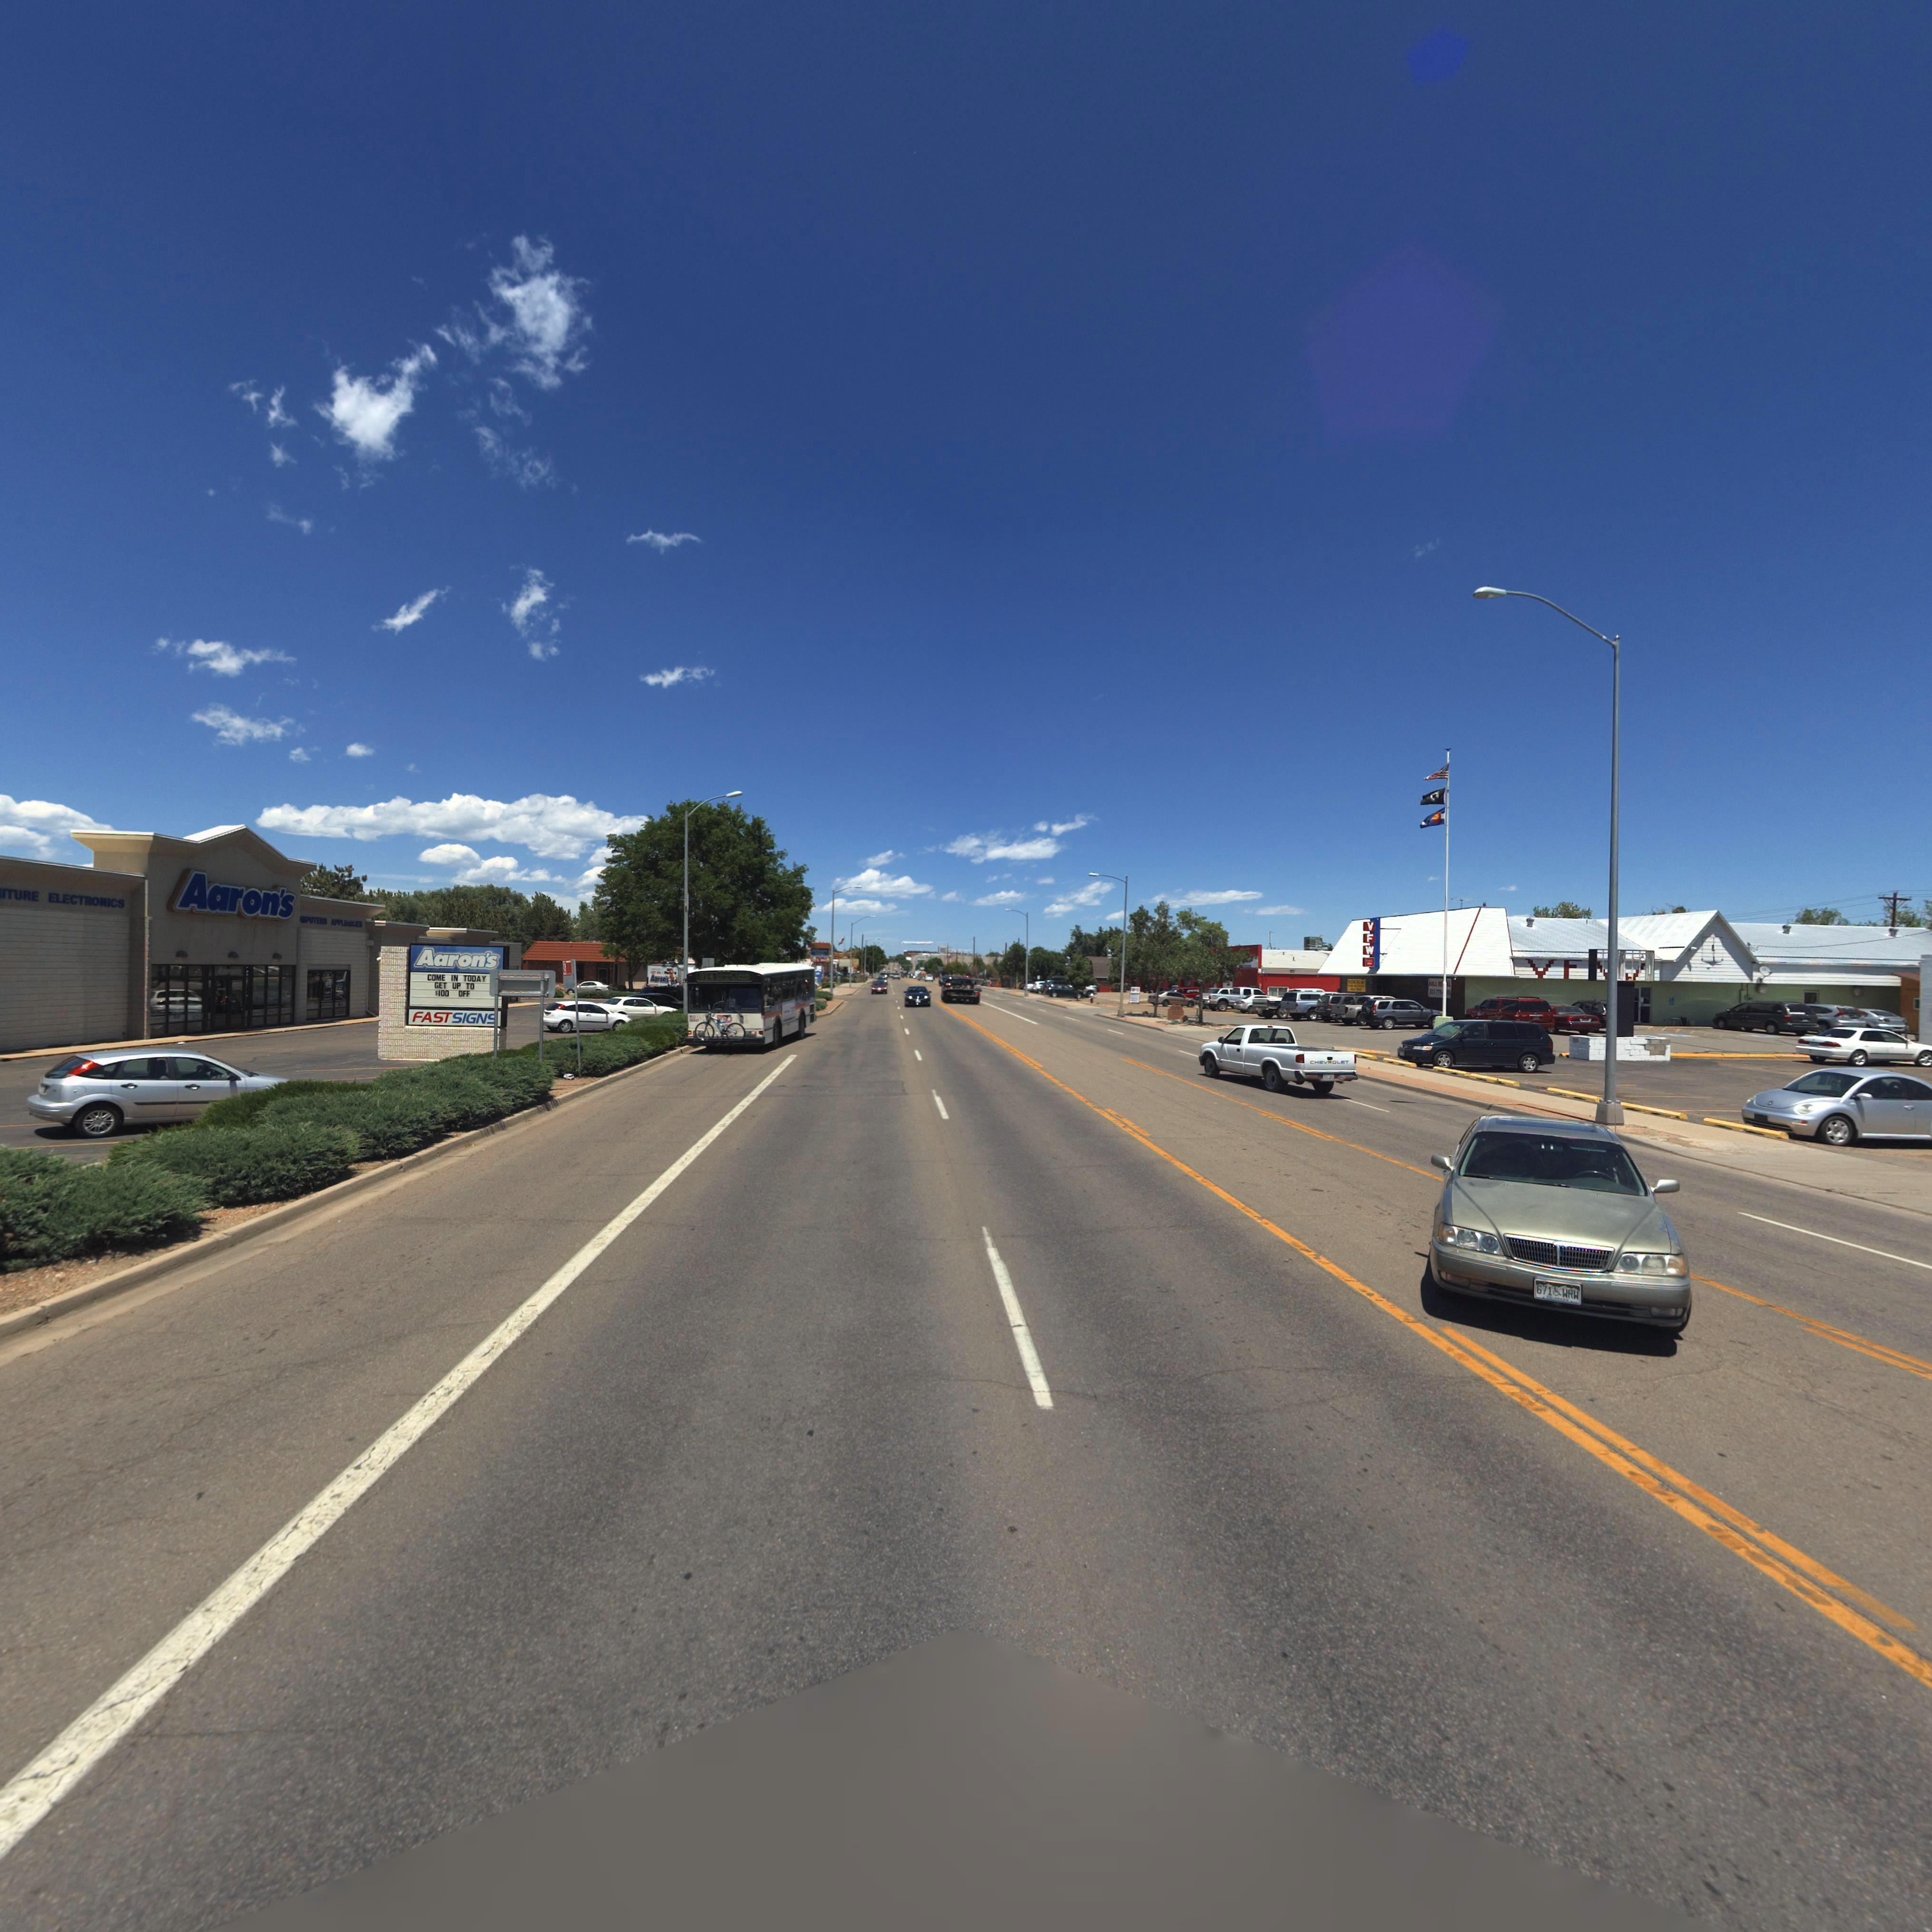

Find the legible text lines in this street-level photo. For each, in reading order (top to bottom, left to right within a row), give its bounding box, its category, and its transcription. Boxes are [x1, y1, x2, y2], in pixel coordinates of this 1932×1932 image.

[0, 889, 124, 908] BusinessName: RUNE ELECTRONICS
[174, 870, 296, 919] BusinessName: Aaron's
[1364, 922, 1374, 954] BusinessName: VFW
[414, 947, 500, 969] BusinessName: Aaron's
[1523, 957, 1583, 979] BusinessName: VF
[411, 1010, 495, 1024] BusinessName: FASTSIGNS